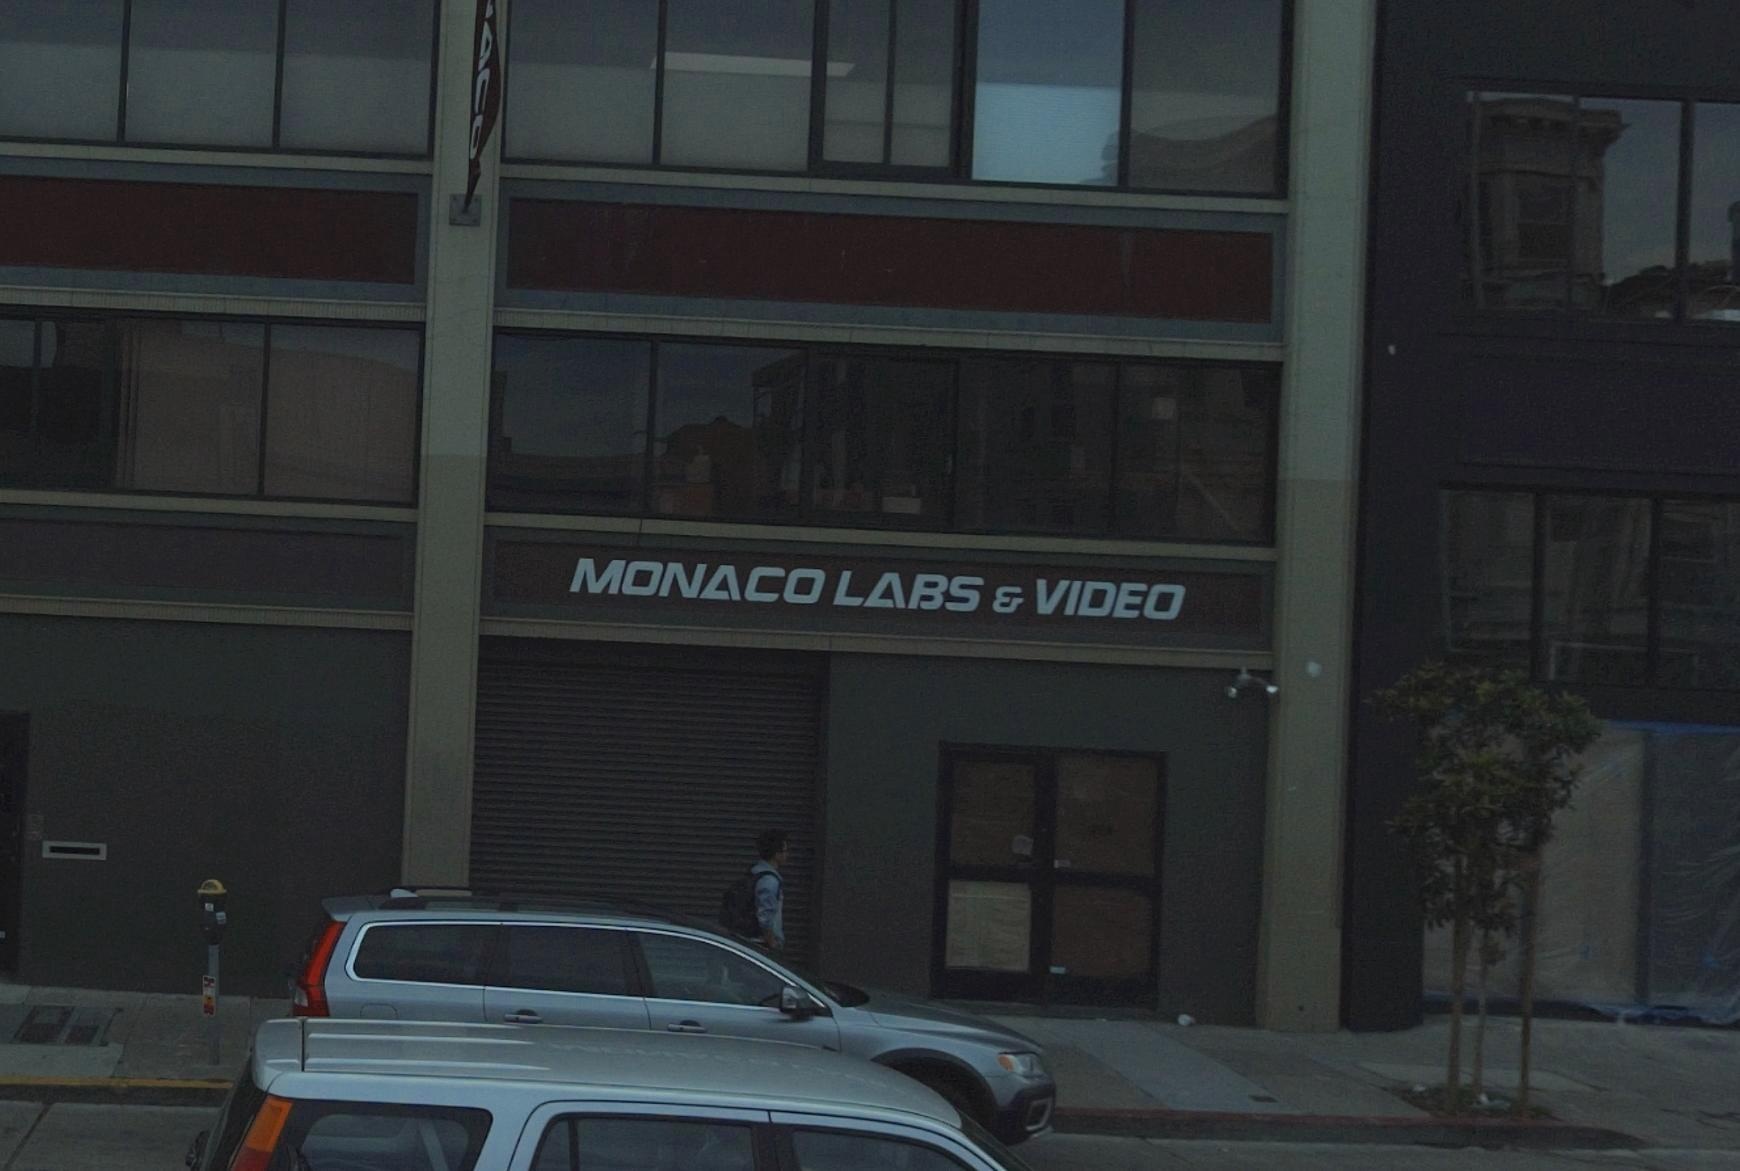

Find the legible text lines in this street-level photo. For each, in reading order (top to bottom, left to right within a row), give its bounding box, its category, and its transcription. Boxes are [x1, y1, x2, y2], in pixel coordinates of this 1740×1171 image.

[561, 552, 1196, 627] BusinessName: MONACO LABS & VIDEO